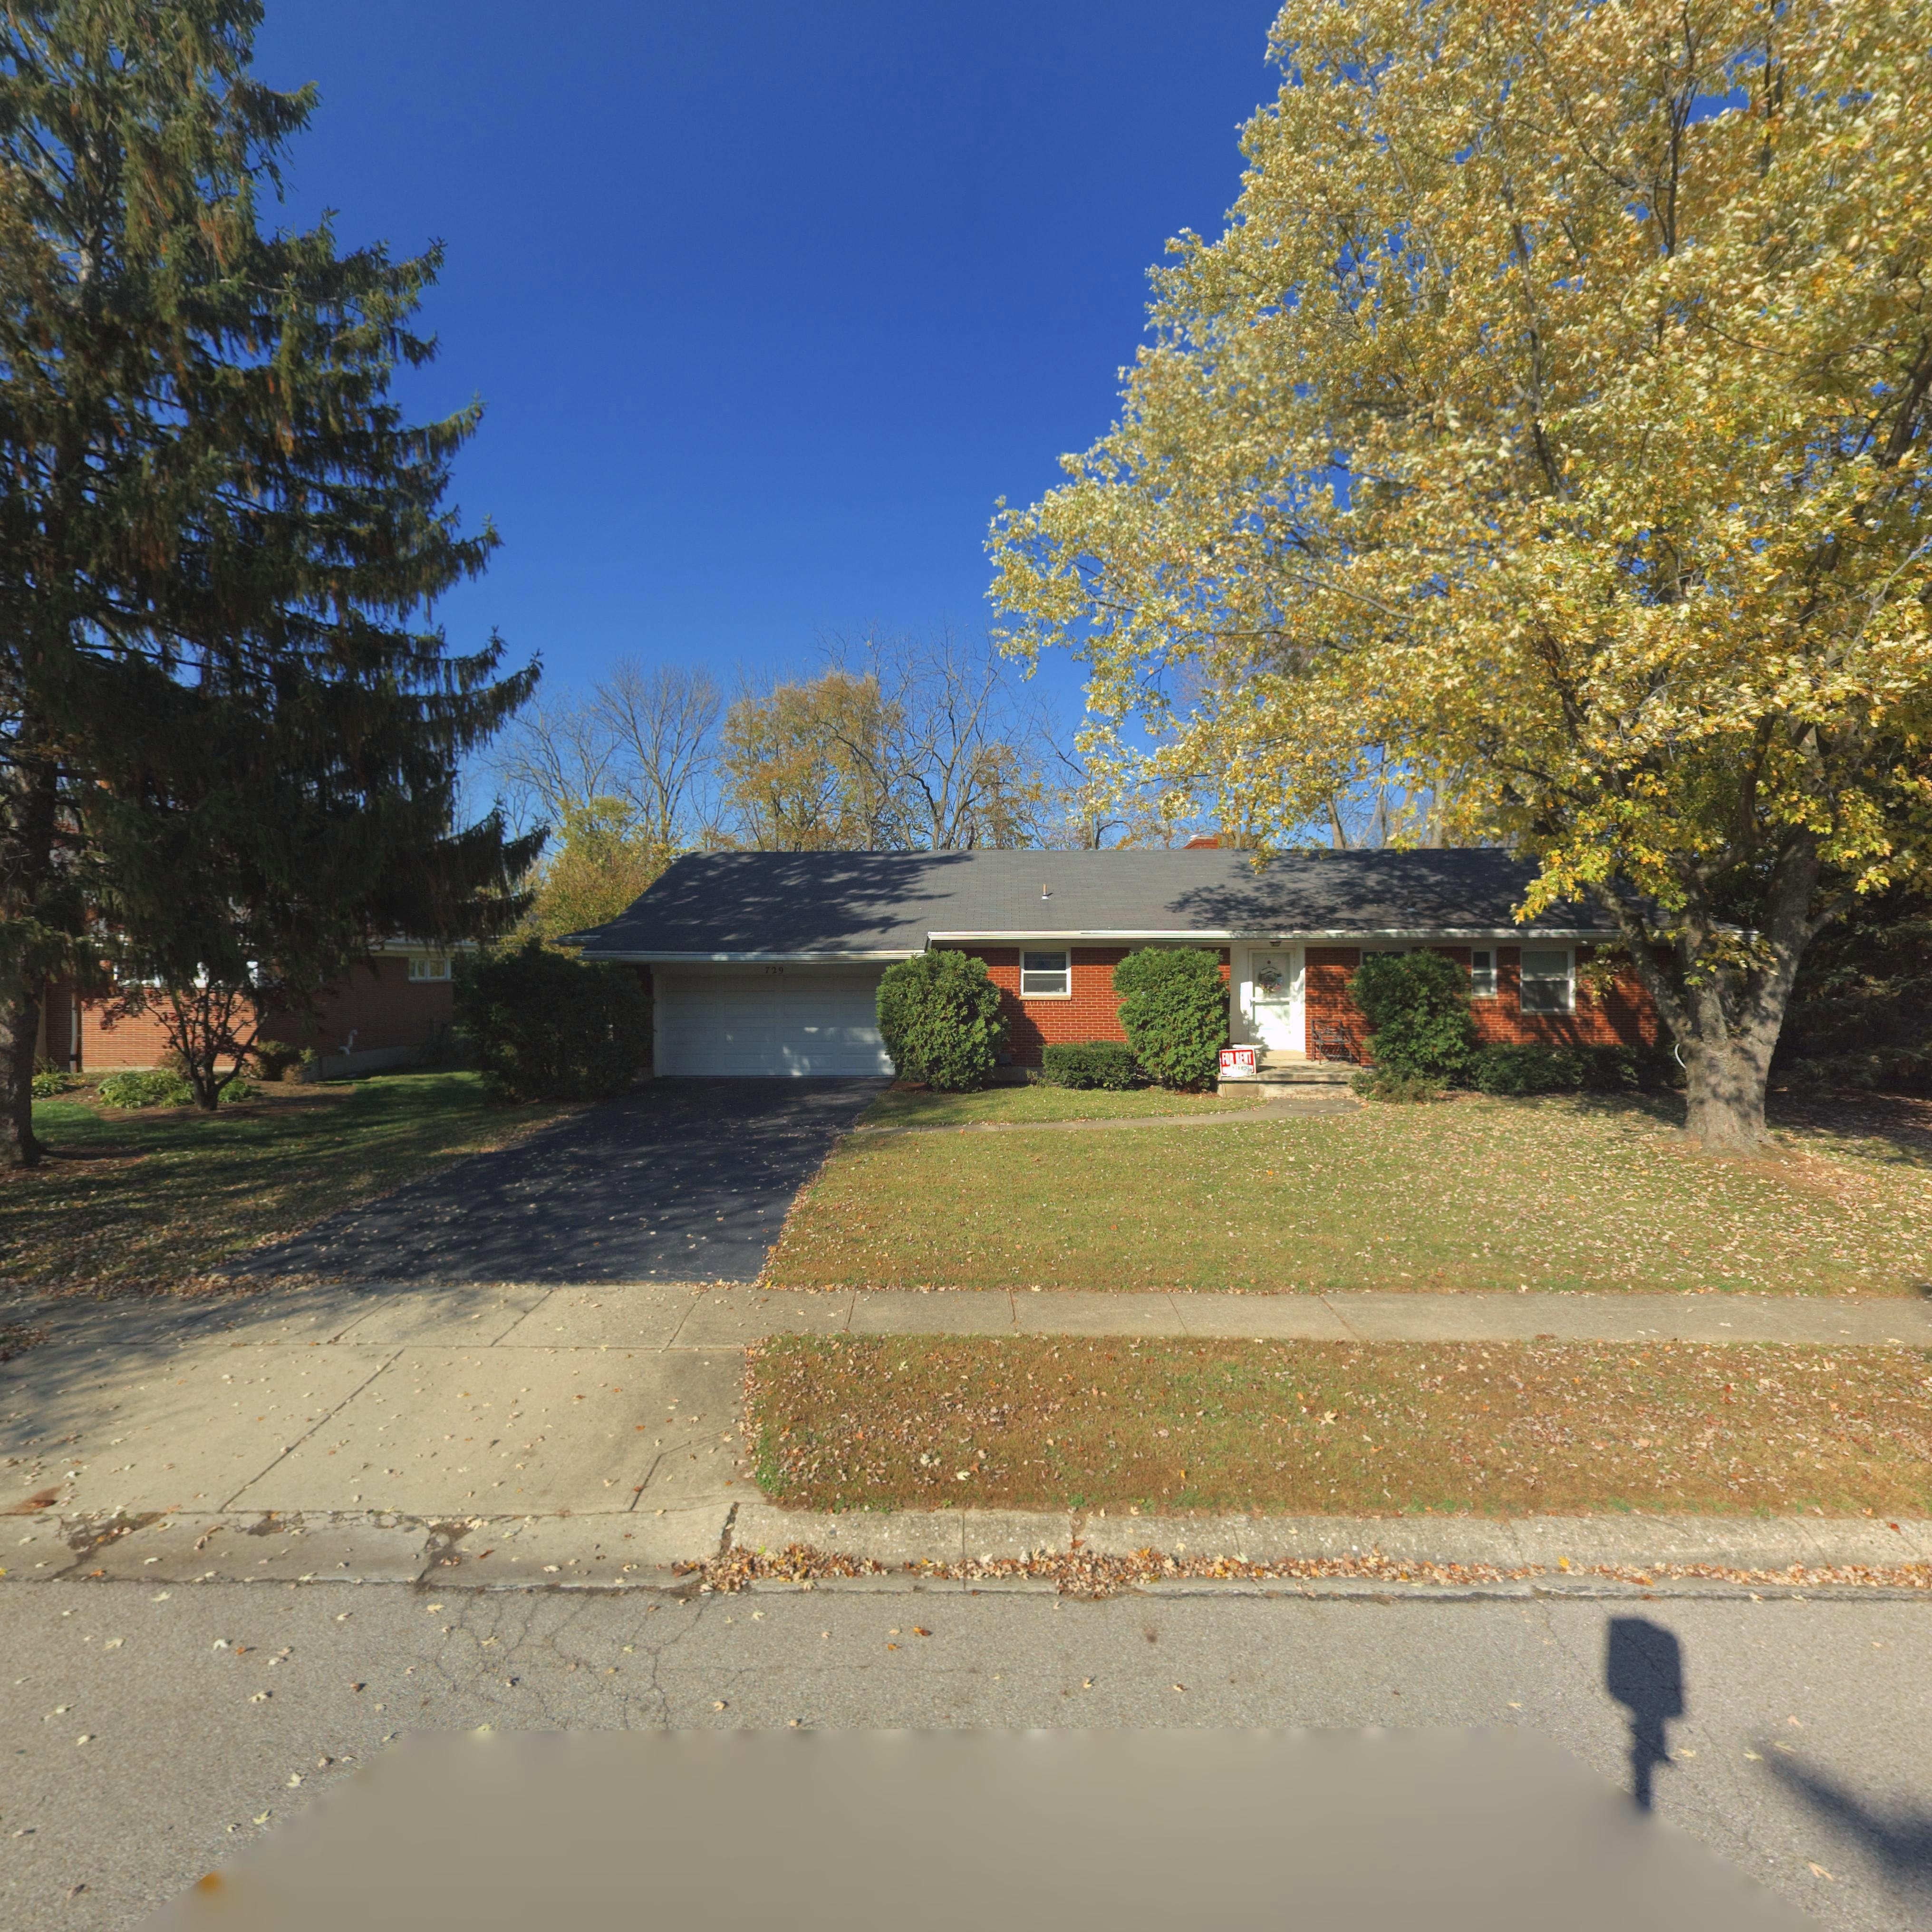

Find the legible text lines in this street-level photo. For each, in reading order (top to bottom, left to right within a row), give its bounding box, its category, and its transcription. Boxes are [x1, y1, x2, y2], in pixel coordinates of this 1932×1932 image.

[764, 966, 784, 975] StreetNumber: 729